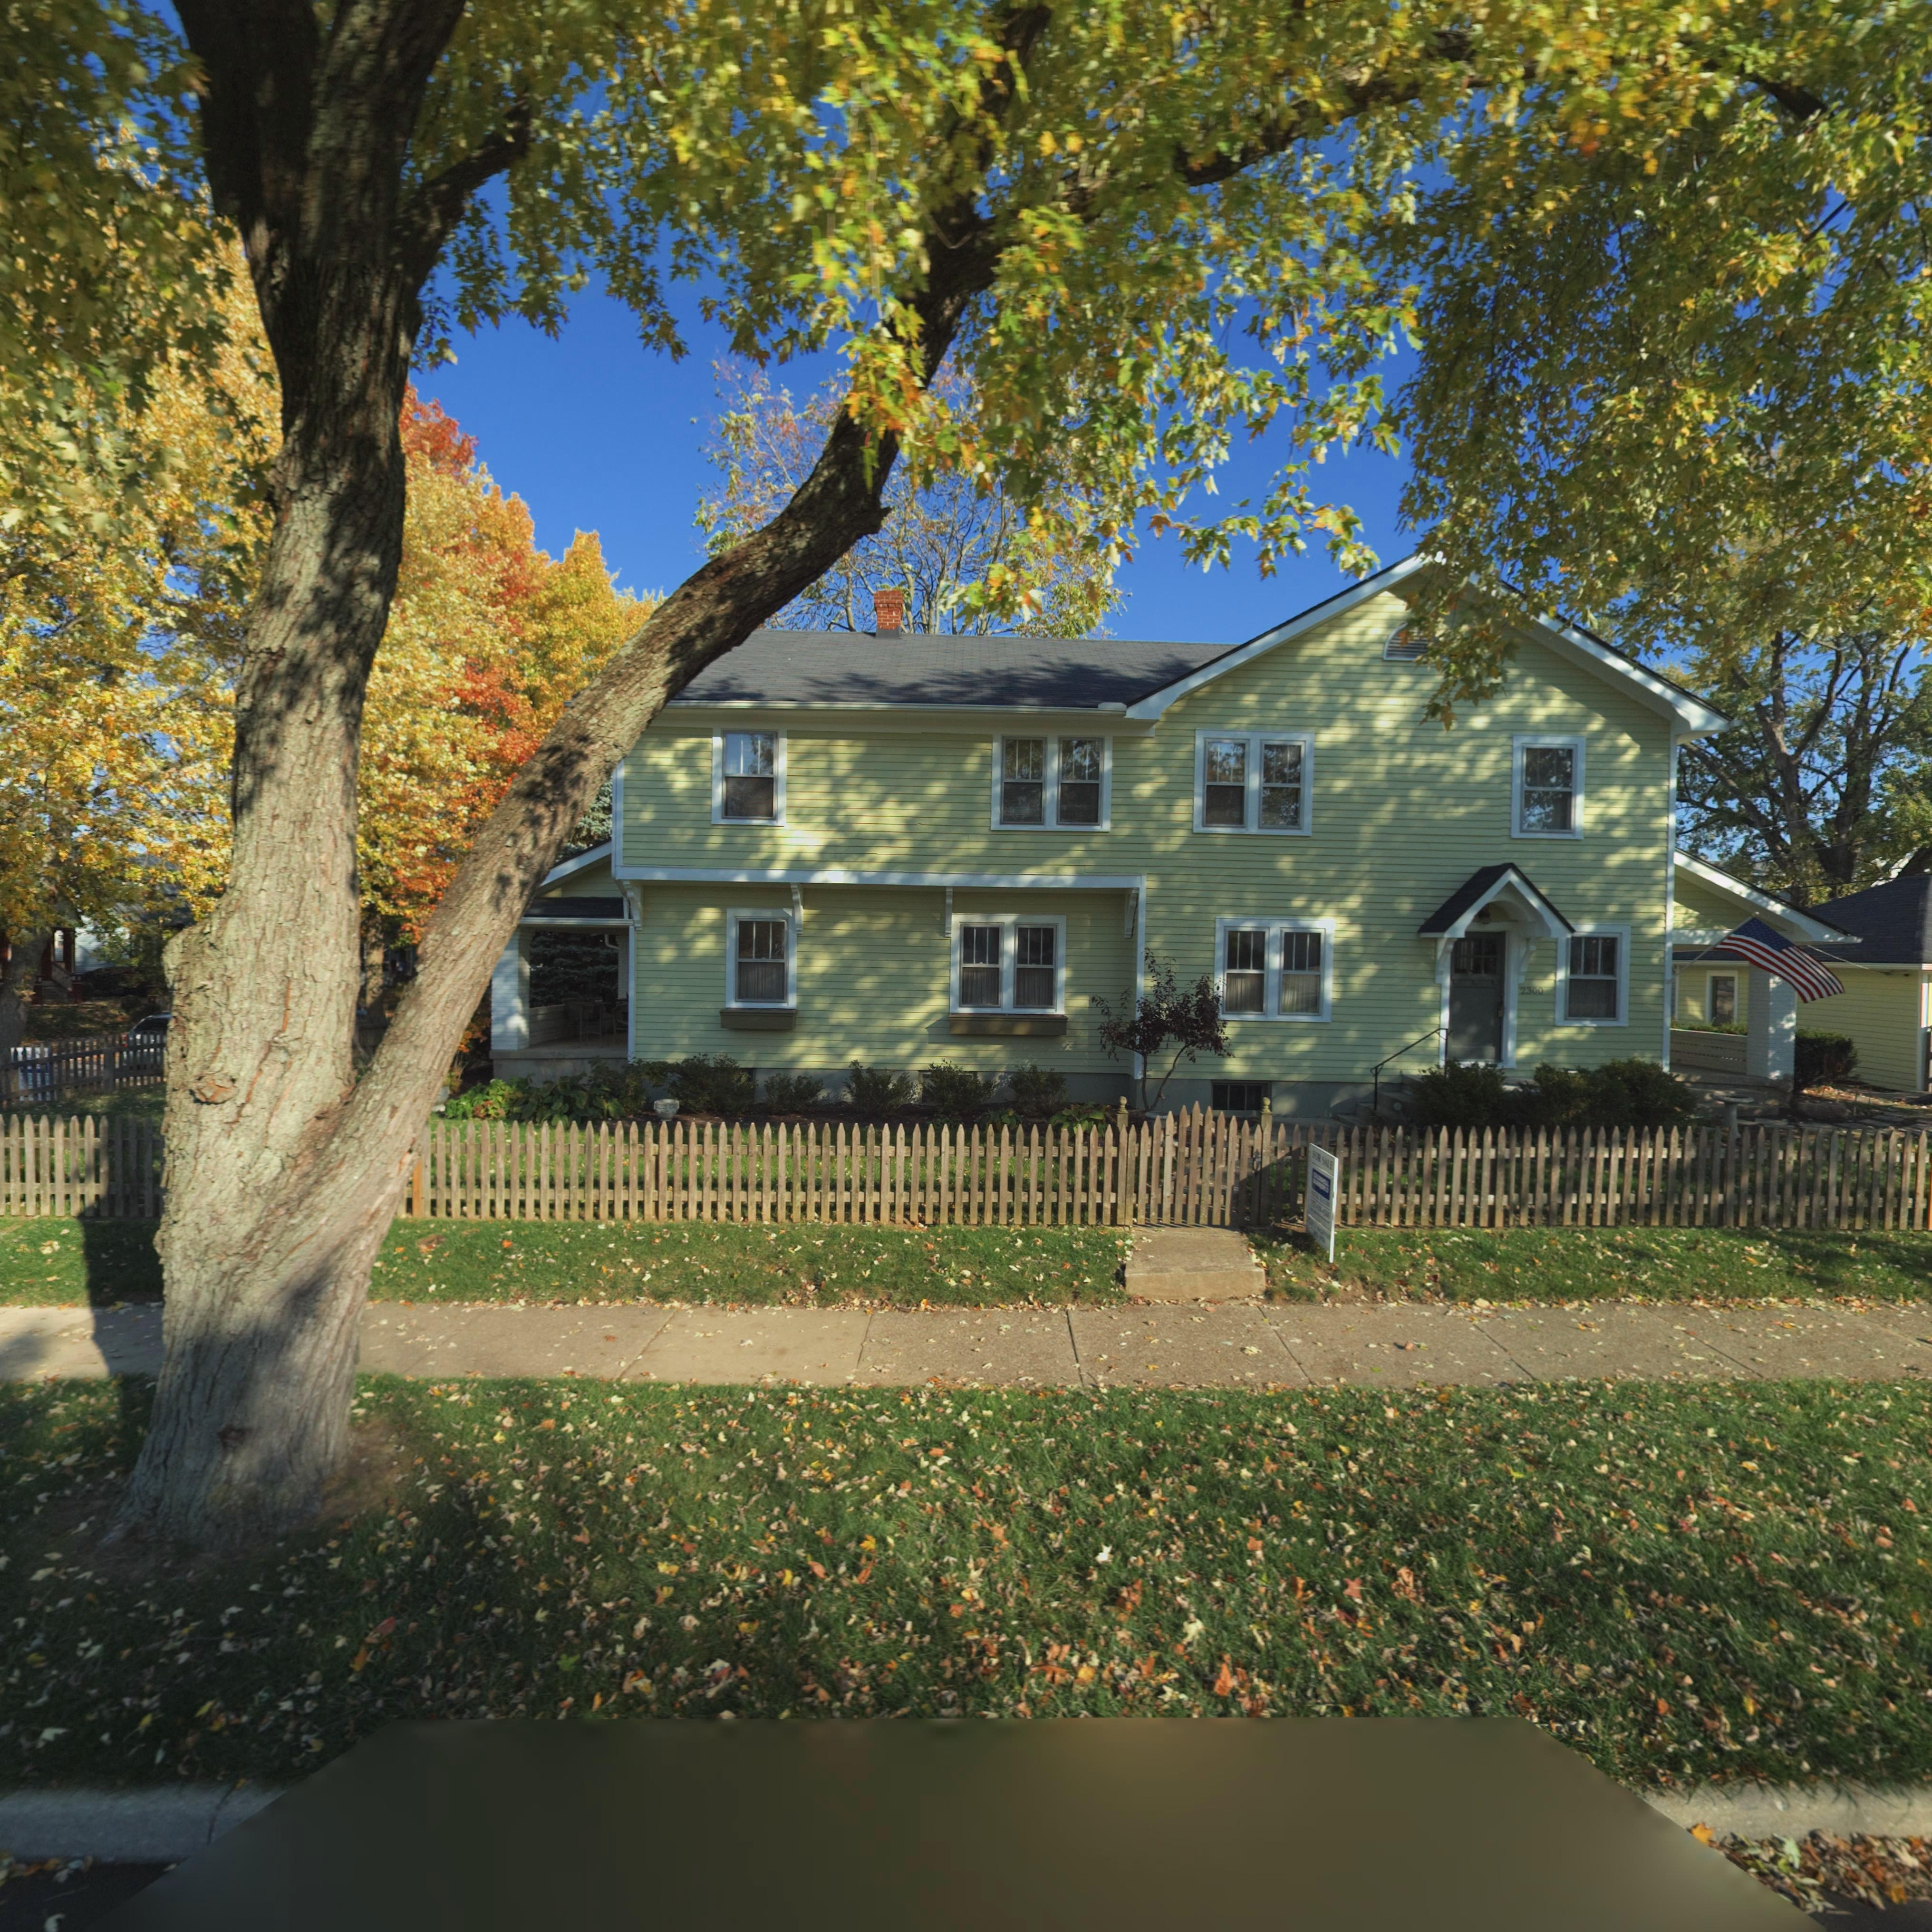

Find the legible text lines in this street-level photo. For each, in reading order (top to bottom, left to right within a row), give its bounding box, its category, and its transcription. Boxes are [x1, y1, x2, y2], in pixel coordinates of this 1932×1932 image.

[1519, 985, 1545, 996] StreetNumber: 2300